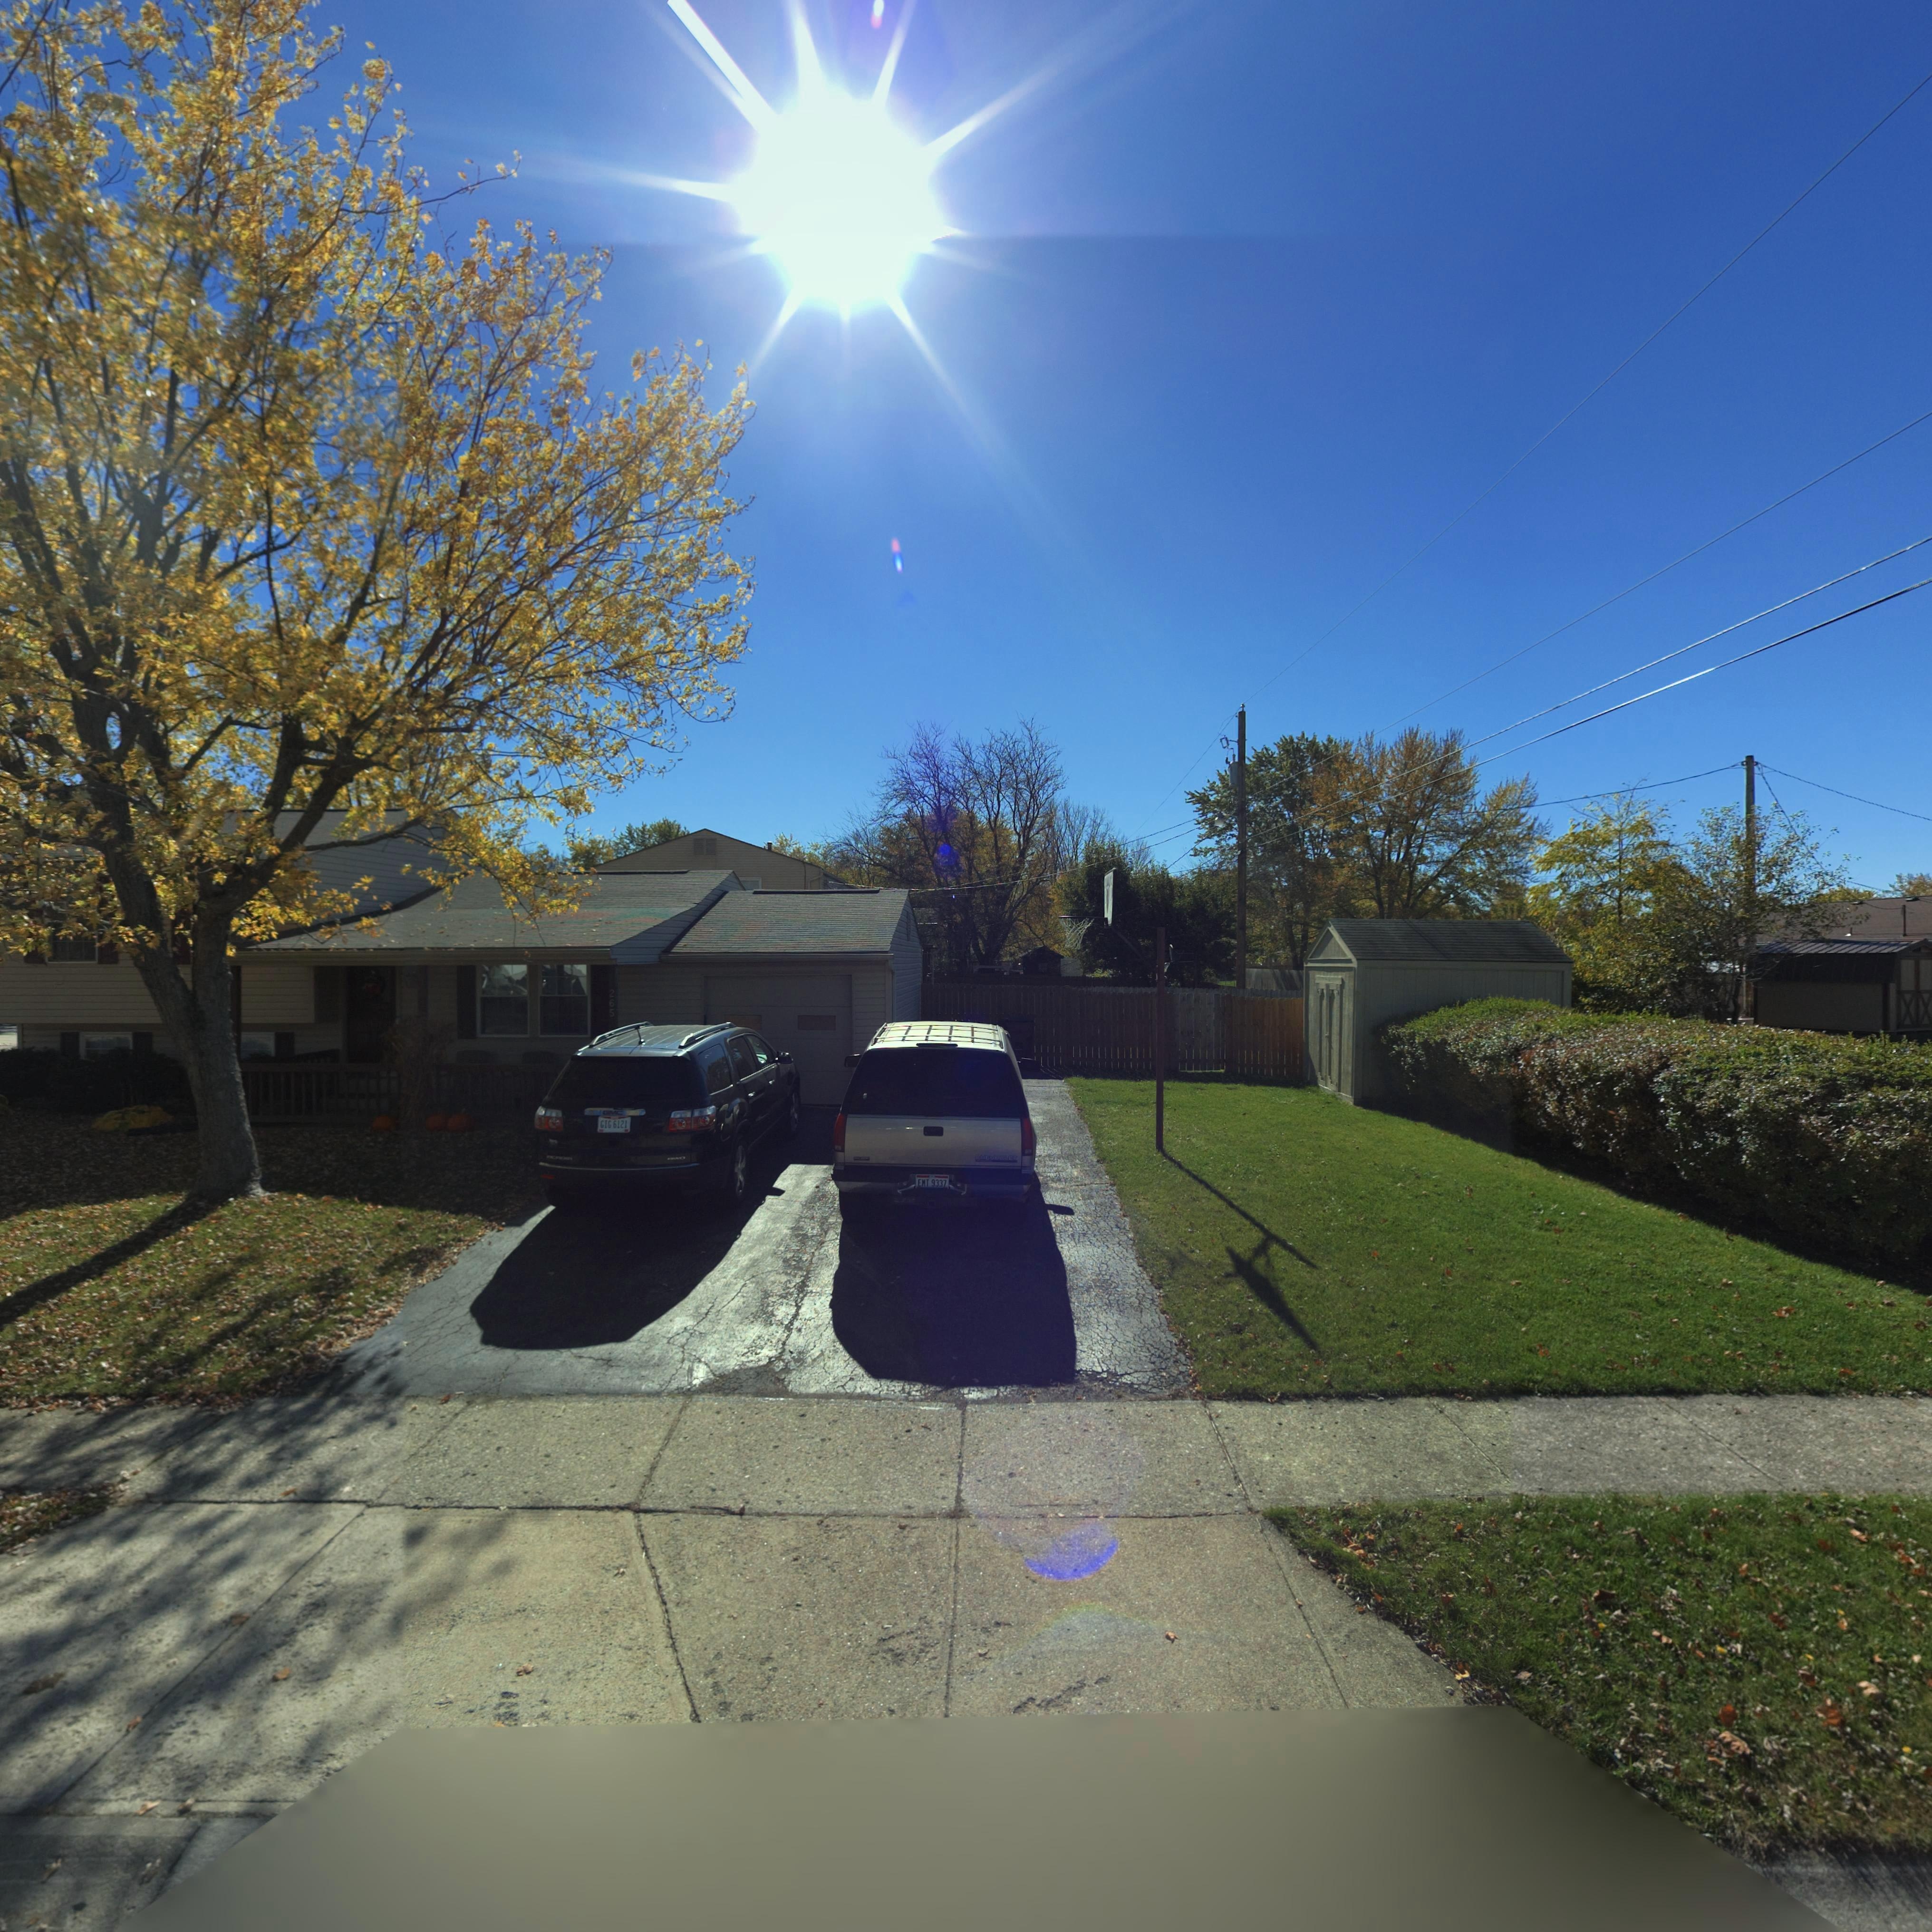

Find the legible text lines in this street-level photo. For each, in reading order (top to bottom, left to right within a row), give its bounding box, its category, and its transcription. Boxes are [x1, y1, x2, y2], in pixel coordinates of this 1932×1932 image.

[609, 988, 615, 1017] StreetNumber: 265